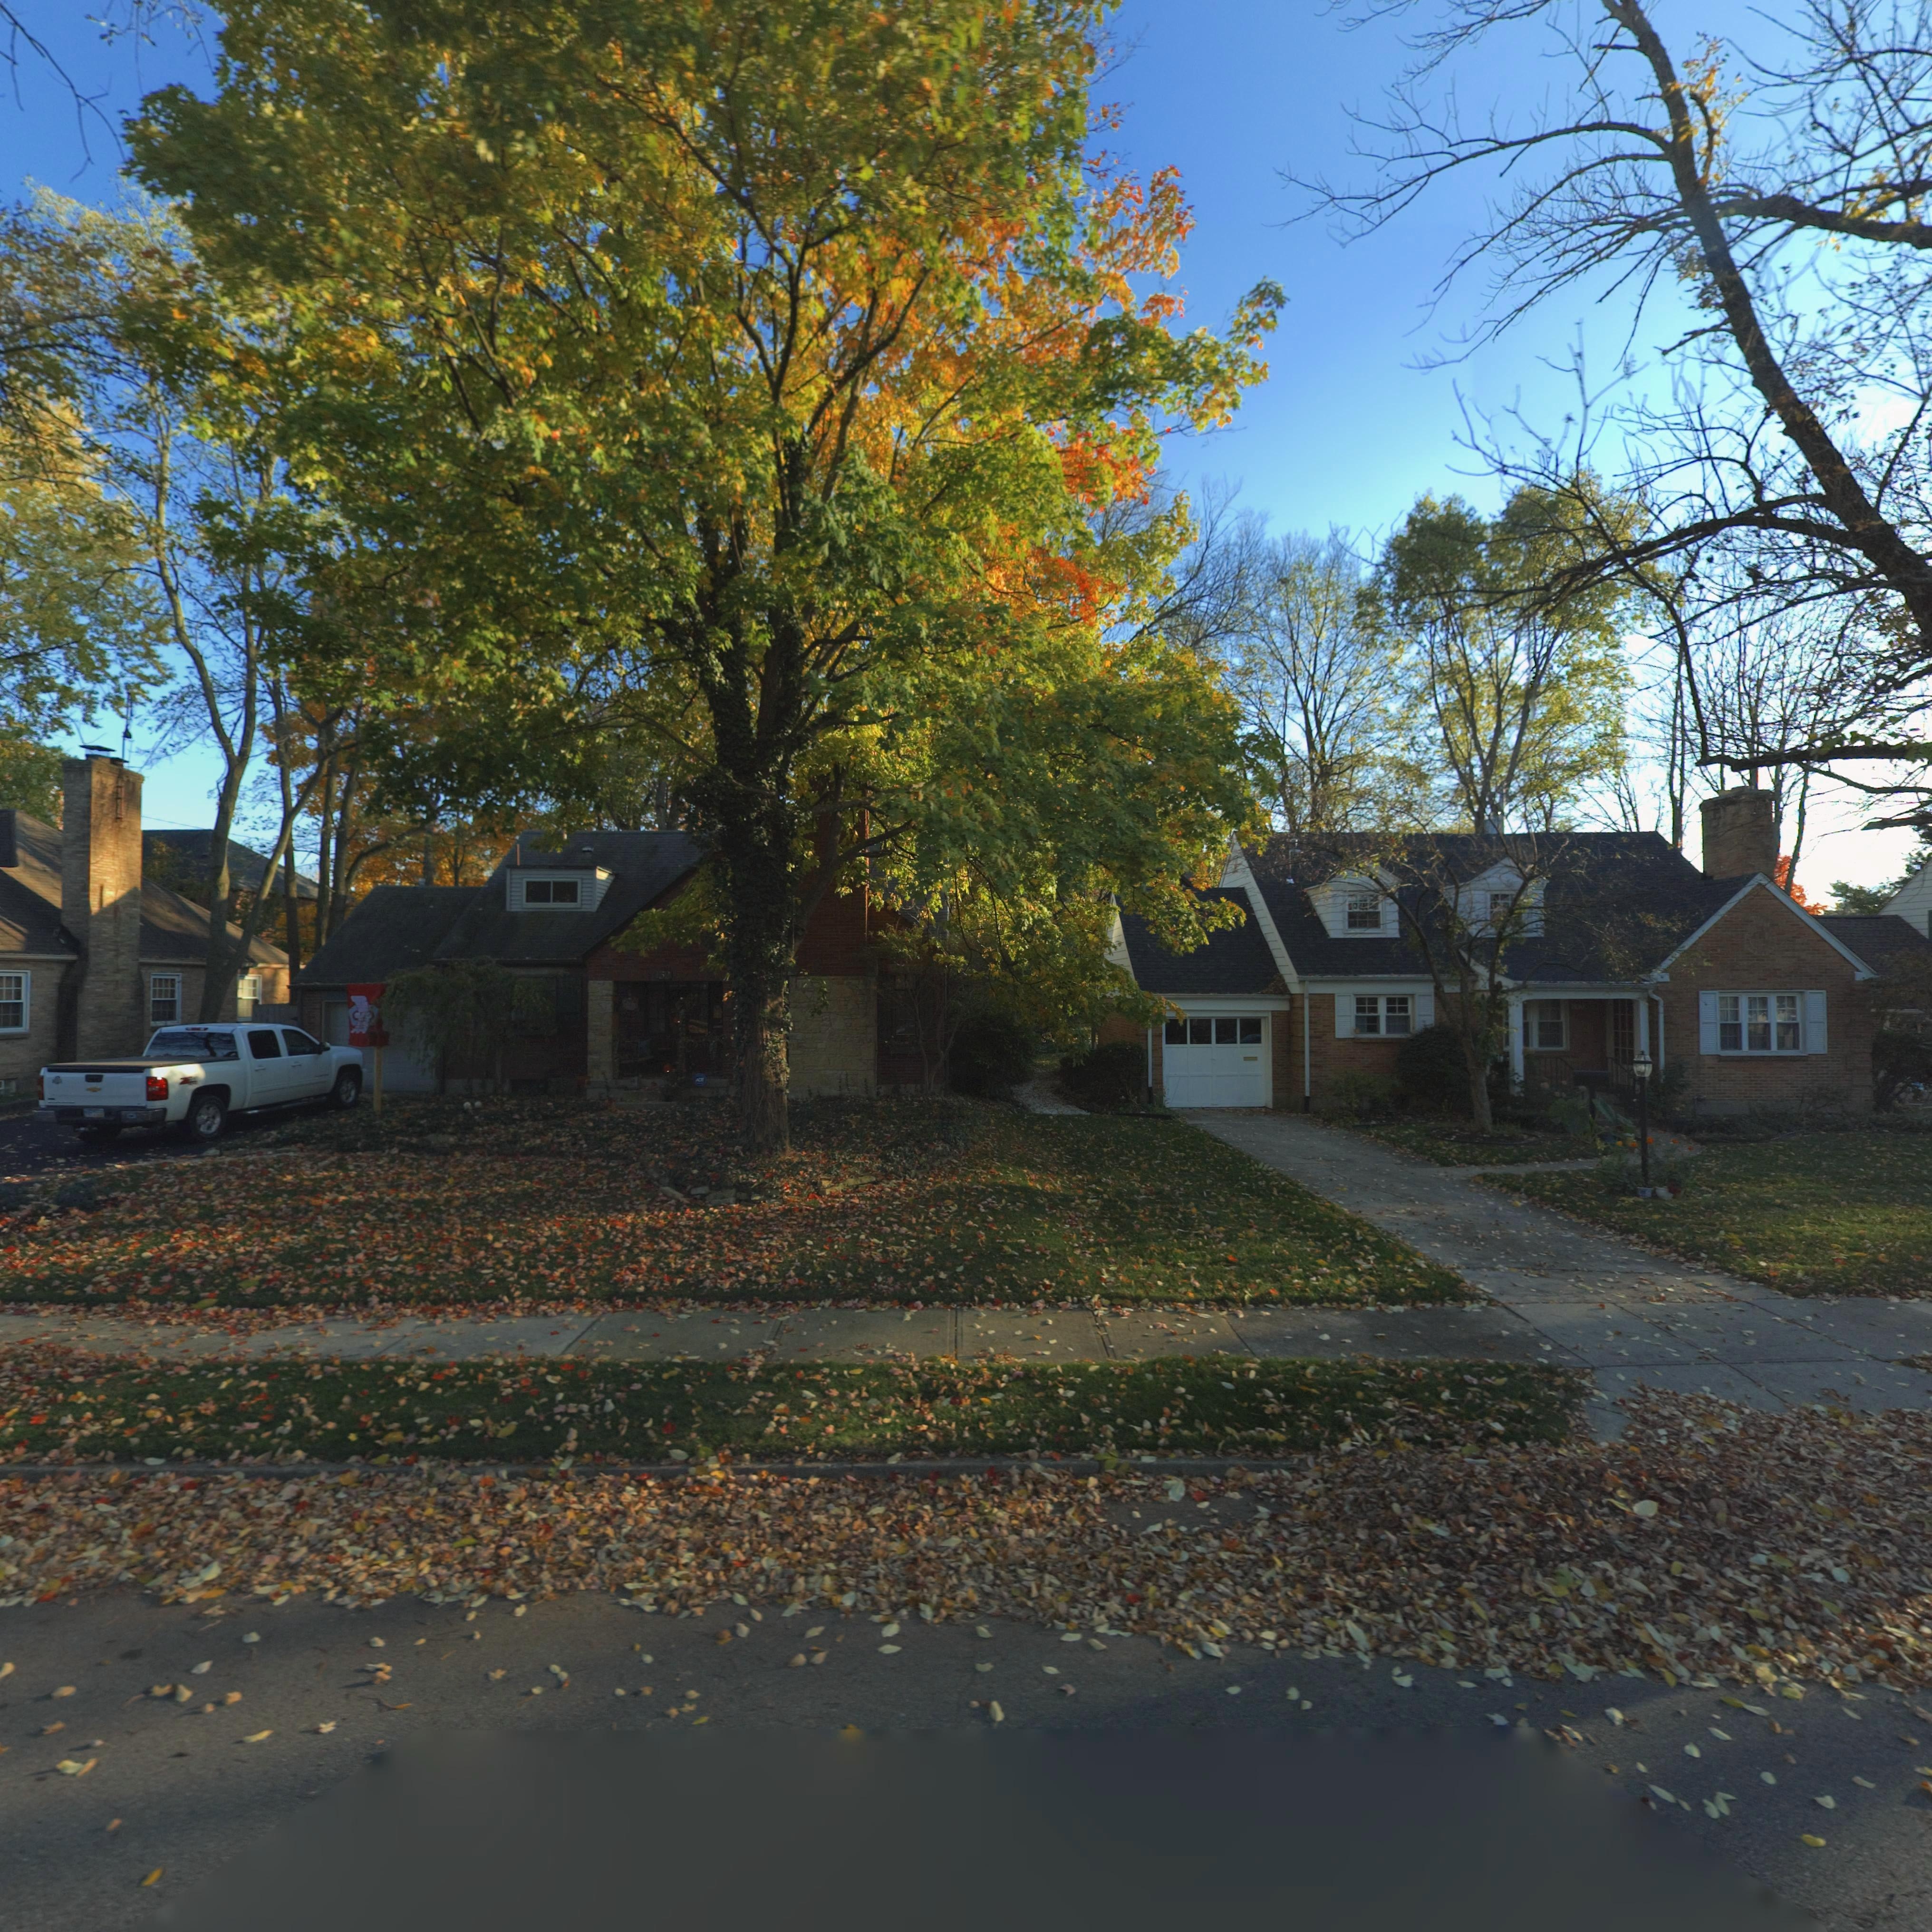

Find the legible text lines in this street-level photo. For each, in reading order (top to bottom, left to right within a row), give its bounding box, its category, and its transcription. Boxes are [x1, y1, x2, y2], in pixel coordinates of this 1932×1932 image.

[655, 970, 671, 980] StreetNumber: *3*